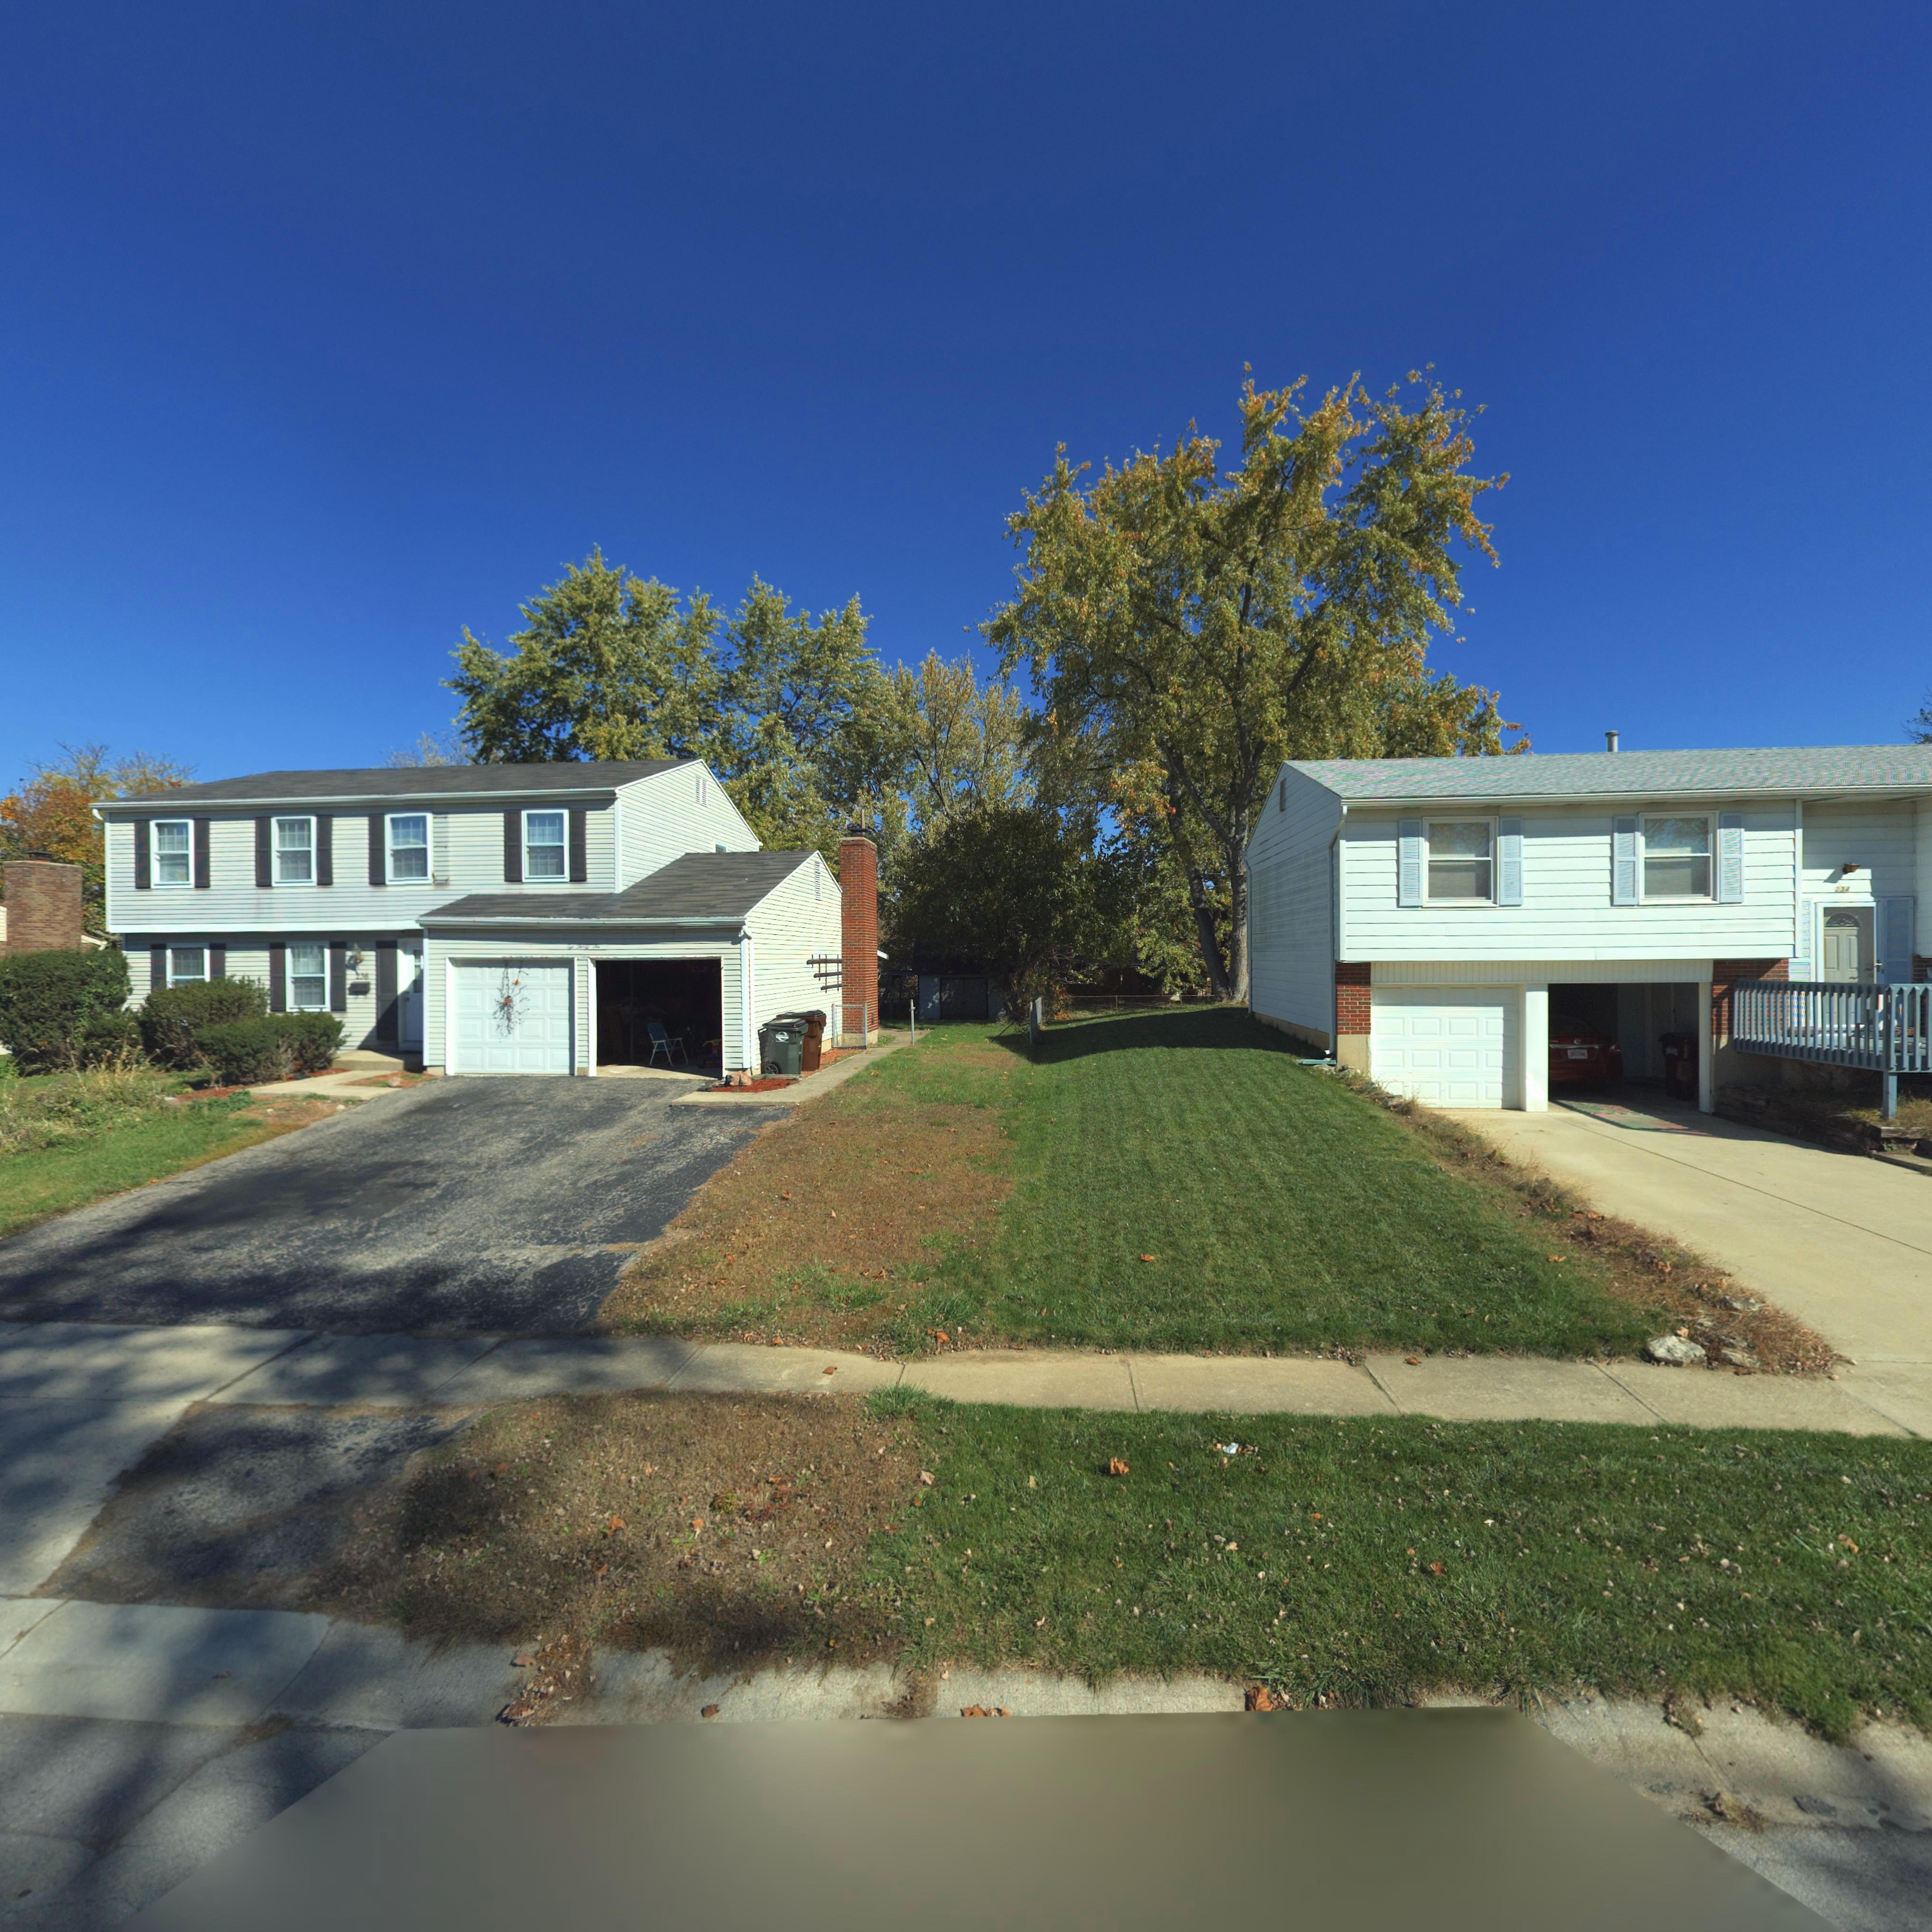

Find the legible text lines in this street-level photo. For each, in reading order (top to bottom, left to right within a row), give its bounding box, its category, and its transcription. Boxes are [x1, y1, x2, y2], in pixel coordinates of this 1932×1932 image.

[1834, 885, 1851, 894] StreetNumber: 2*4
[354, 971, 369, 981] StreetNumber: 236